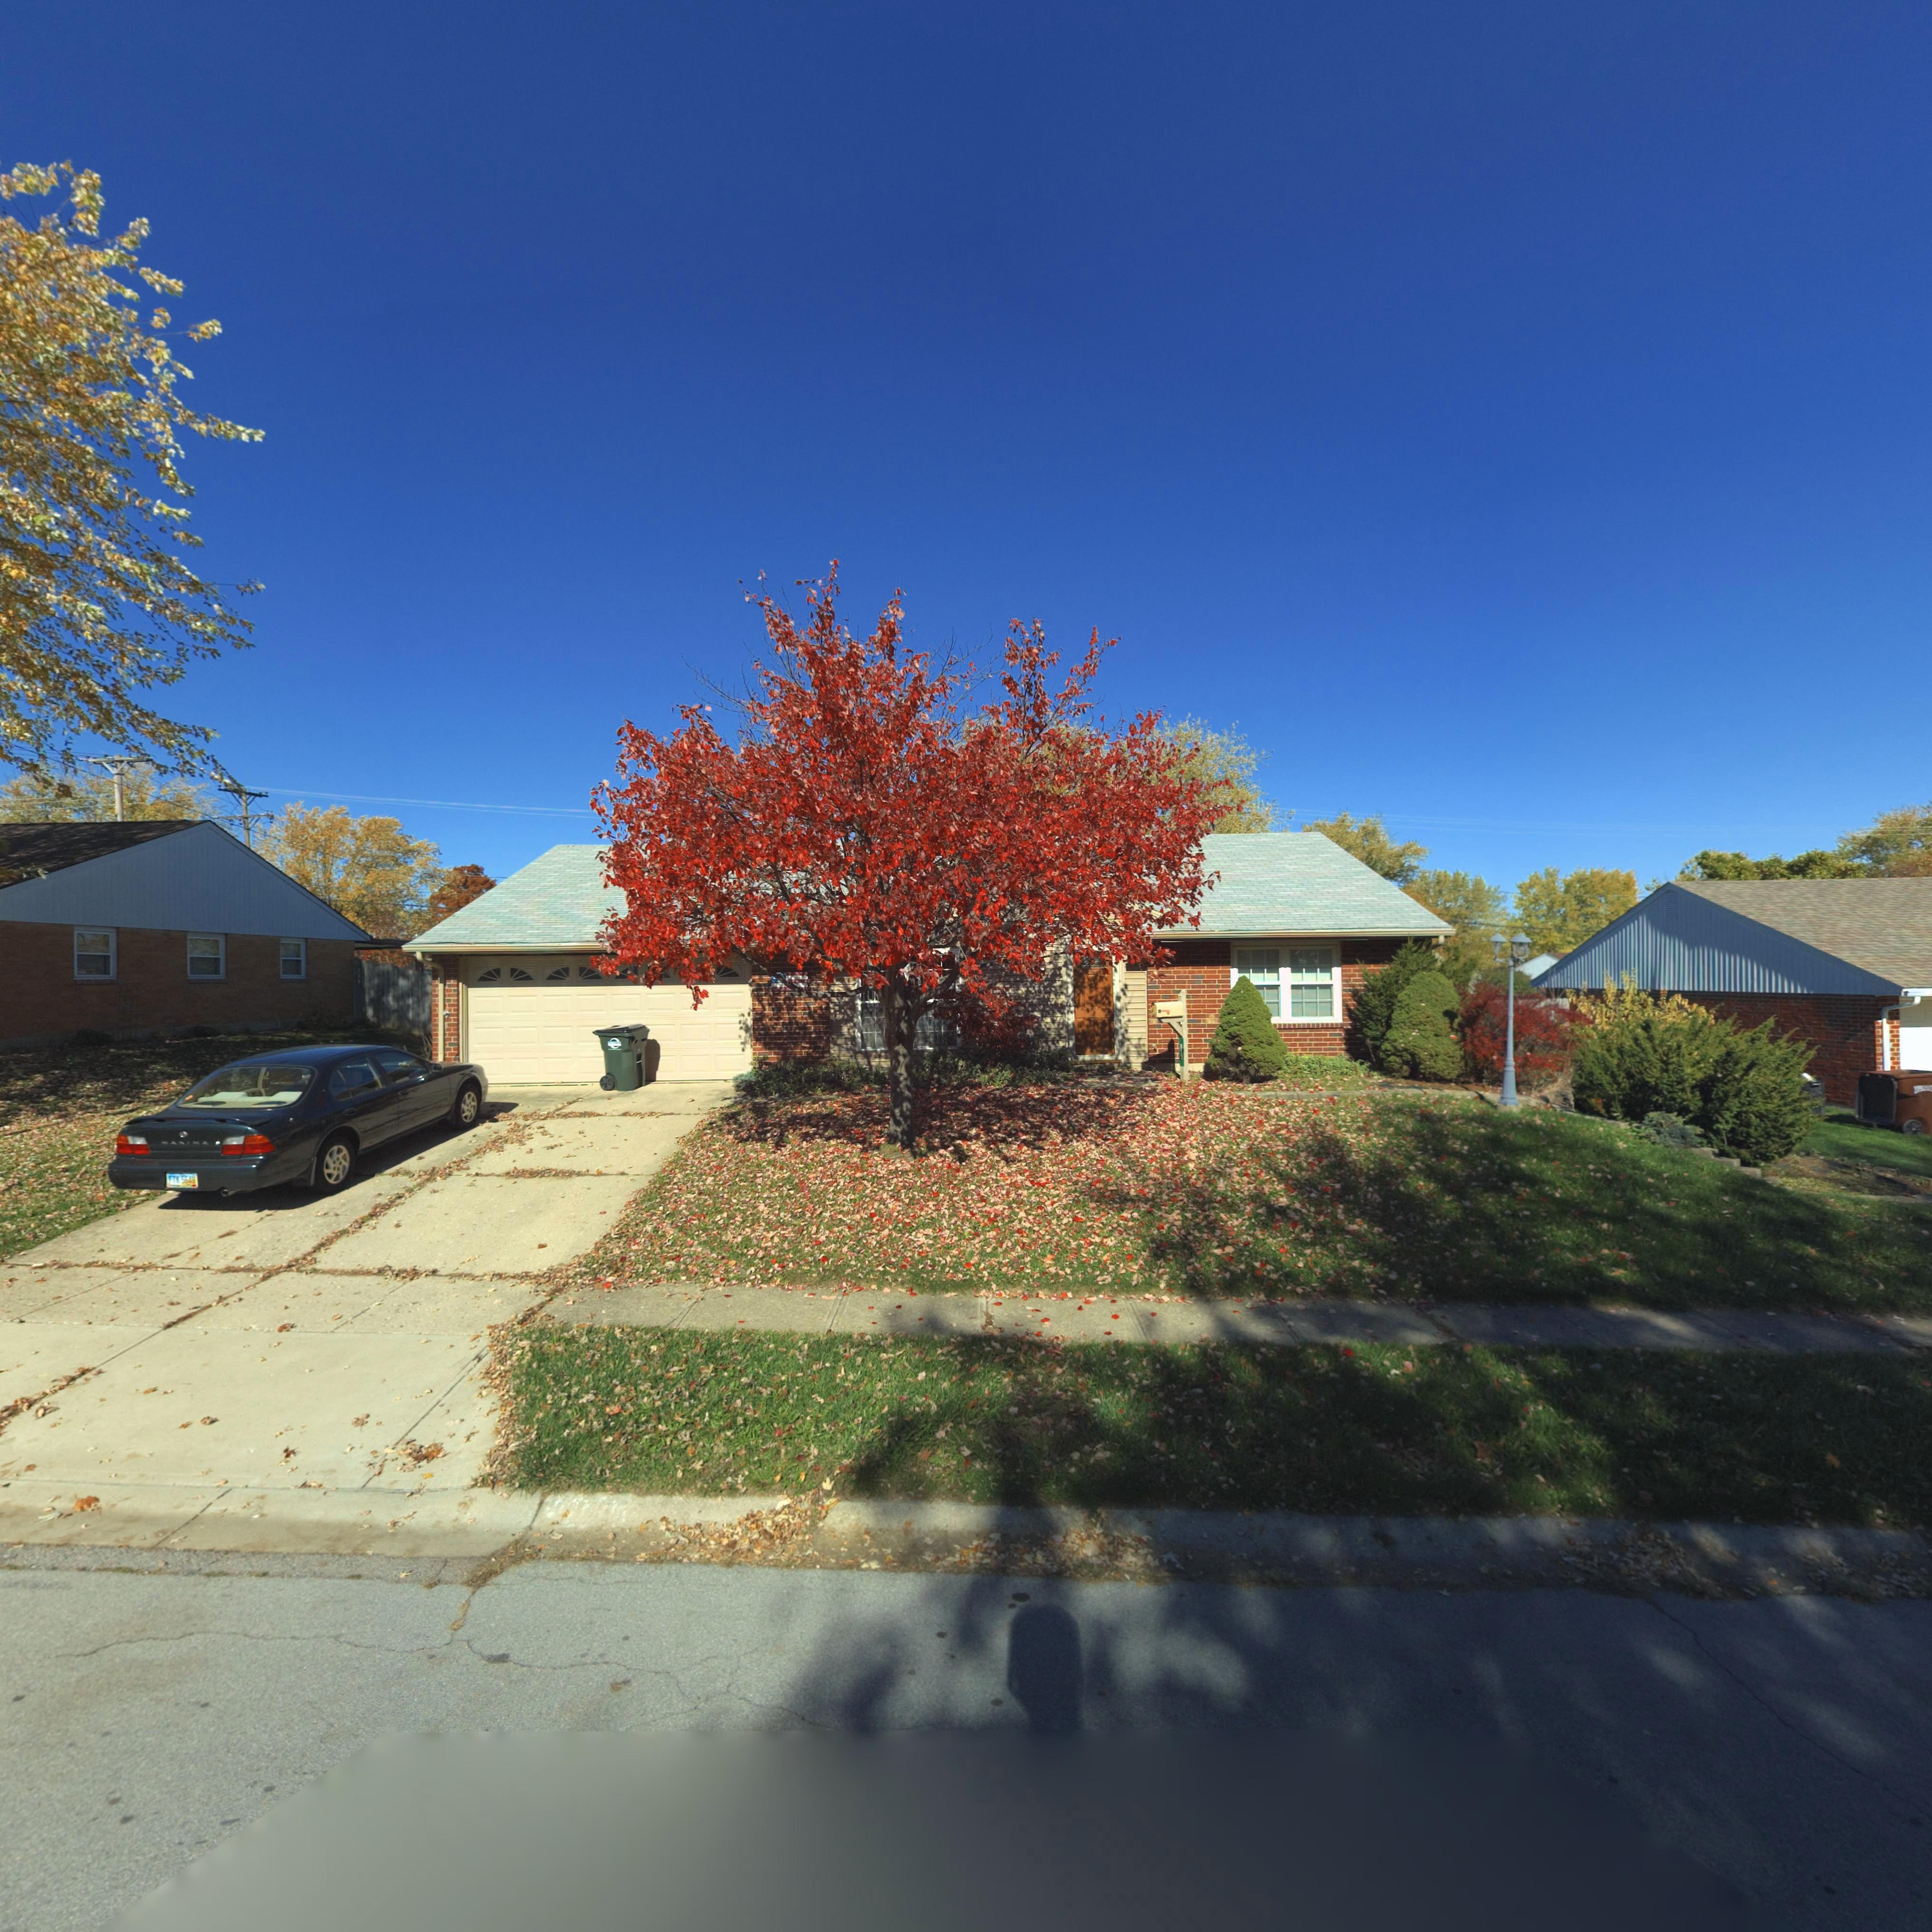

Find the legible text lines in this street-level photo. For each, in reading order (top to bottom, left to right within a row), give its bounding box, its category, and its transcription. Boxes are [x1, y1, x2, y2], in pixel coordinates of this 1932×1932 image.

[1179, 1043, 1183, 1060] StreetNumber: 810